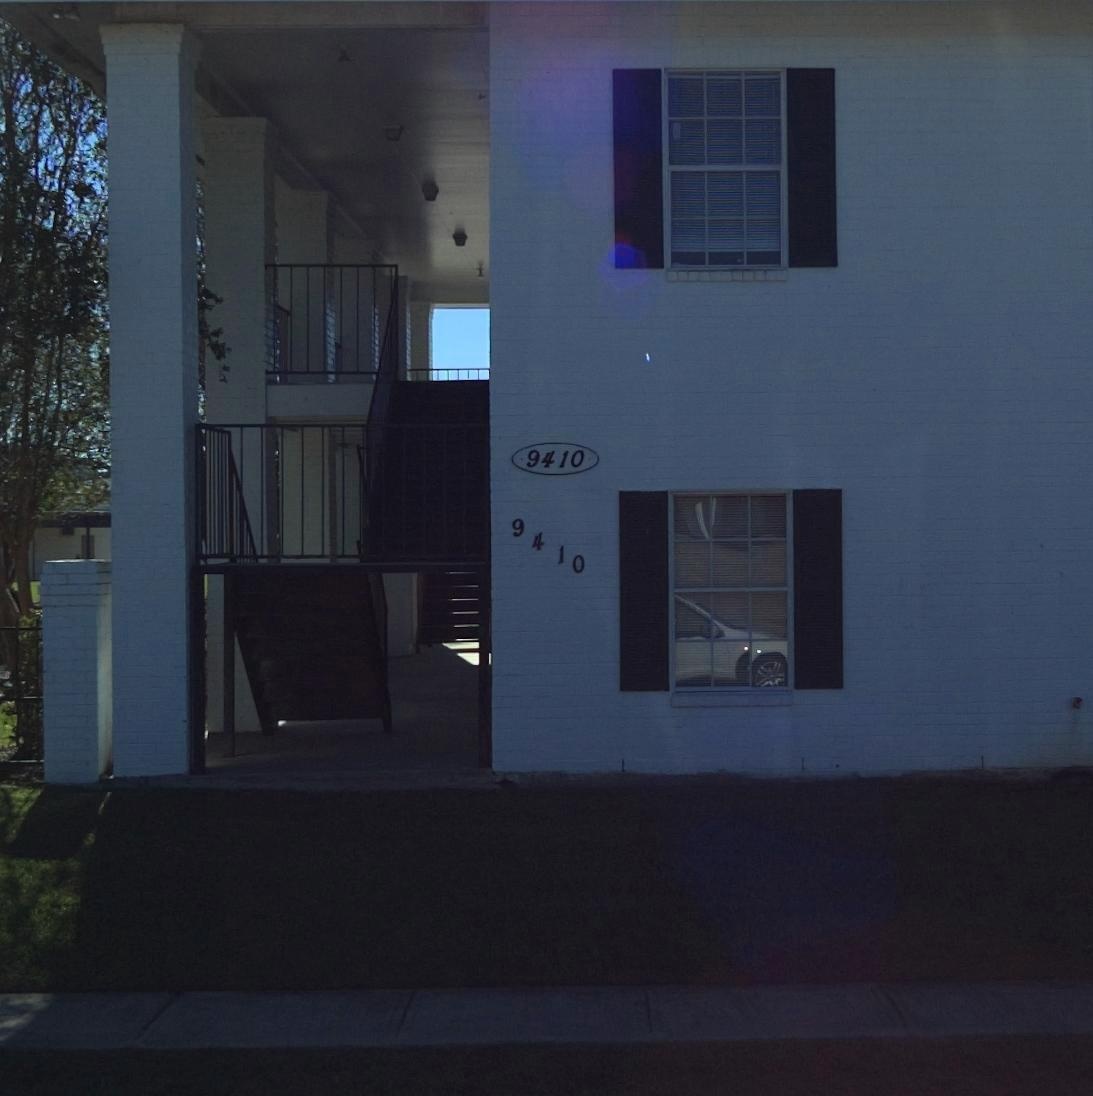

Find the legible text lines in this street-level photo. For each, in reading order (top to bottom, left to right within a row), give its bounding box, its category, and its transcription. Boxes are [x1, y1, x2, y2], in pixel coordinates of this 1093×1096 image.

[525, 447, 587, 471] StreetNumber: 9410
[510, 516, 587, 576] StreetNumber: 9410